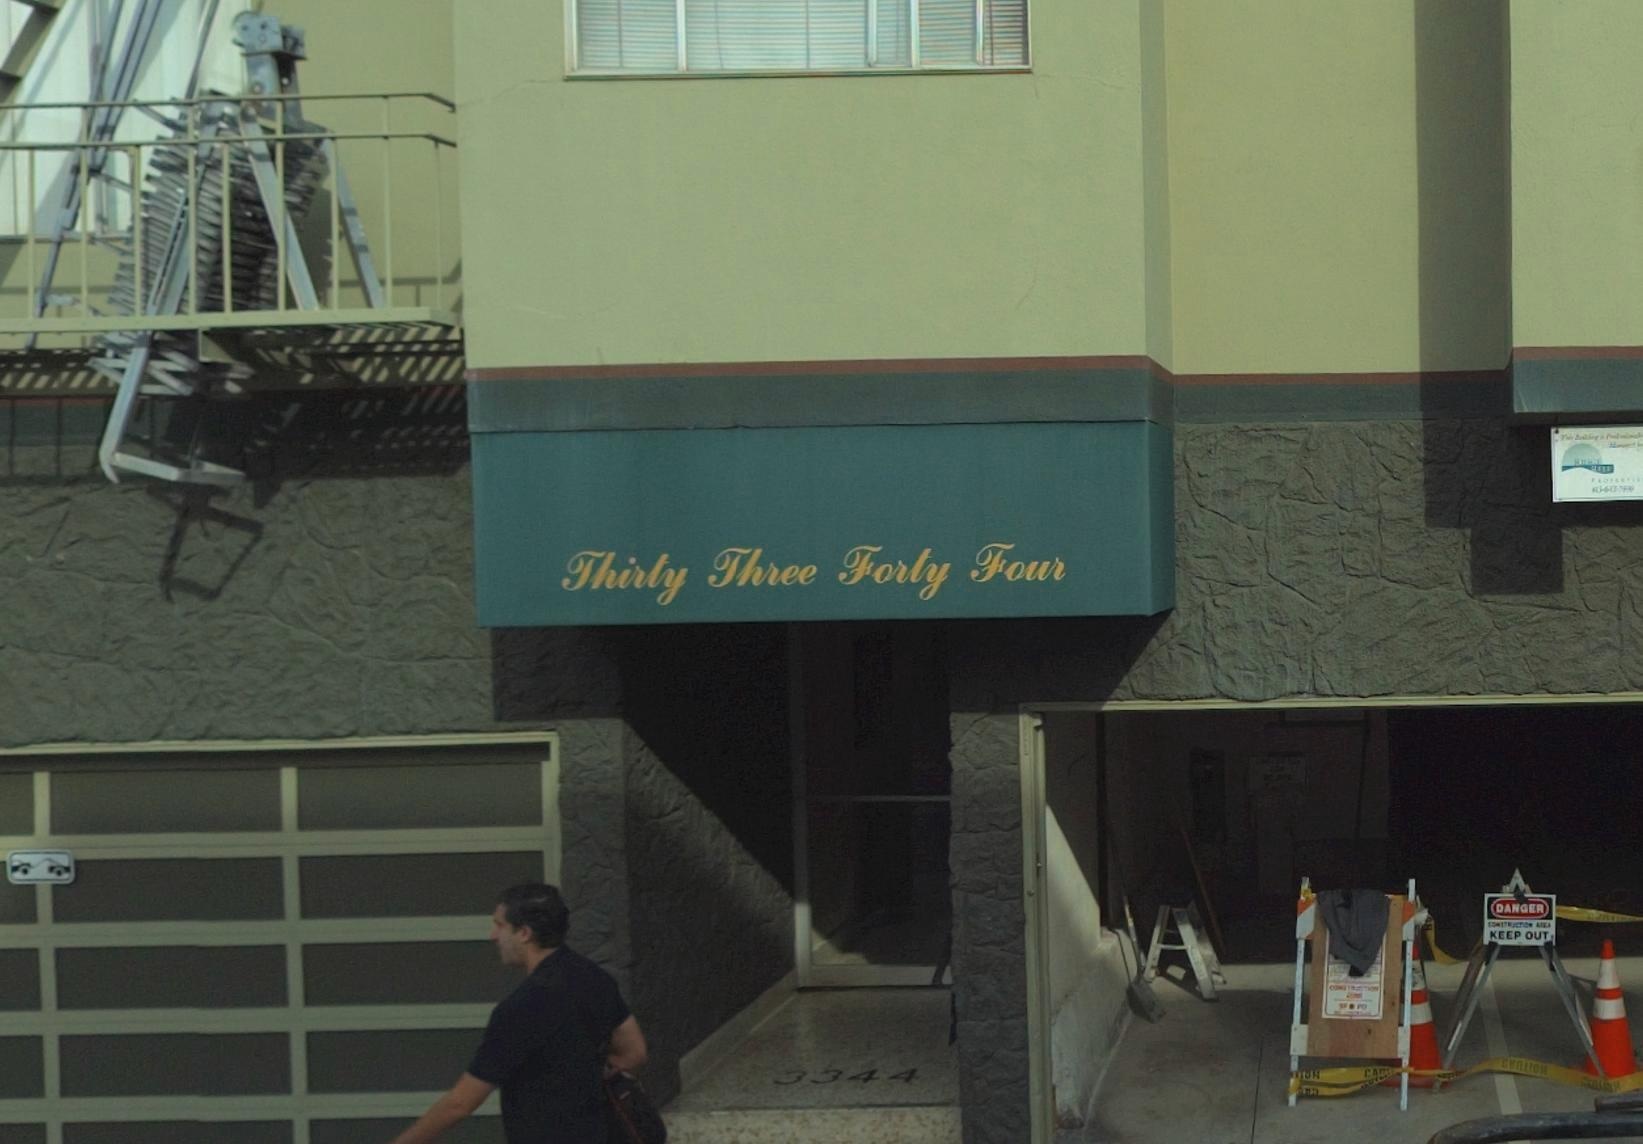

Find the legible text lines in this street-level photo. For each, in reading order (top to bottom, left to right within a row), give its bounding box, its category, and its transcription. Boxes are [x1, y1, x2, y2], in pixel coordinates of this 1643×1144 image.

[555, 537, 1069, 611] StreetNumber: Thirty Three Thirty Four
[1494, 901, 1546, 916] None: DANGER
[1487, 928, 1552, 942] None: KEEP OUT
[767, 1064, 924, 1088] StreetNumber: 3344